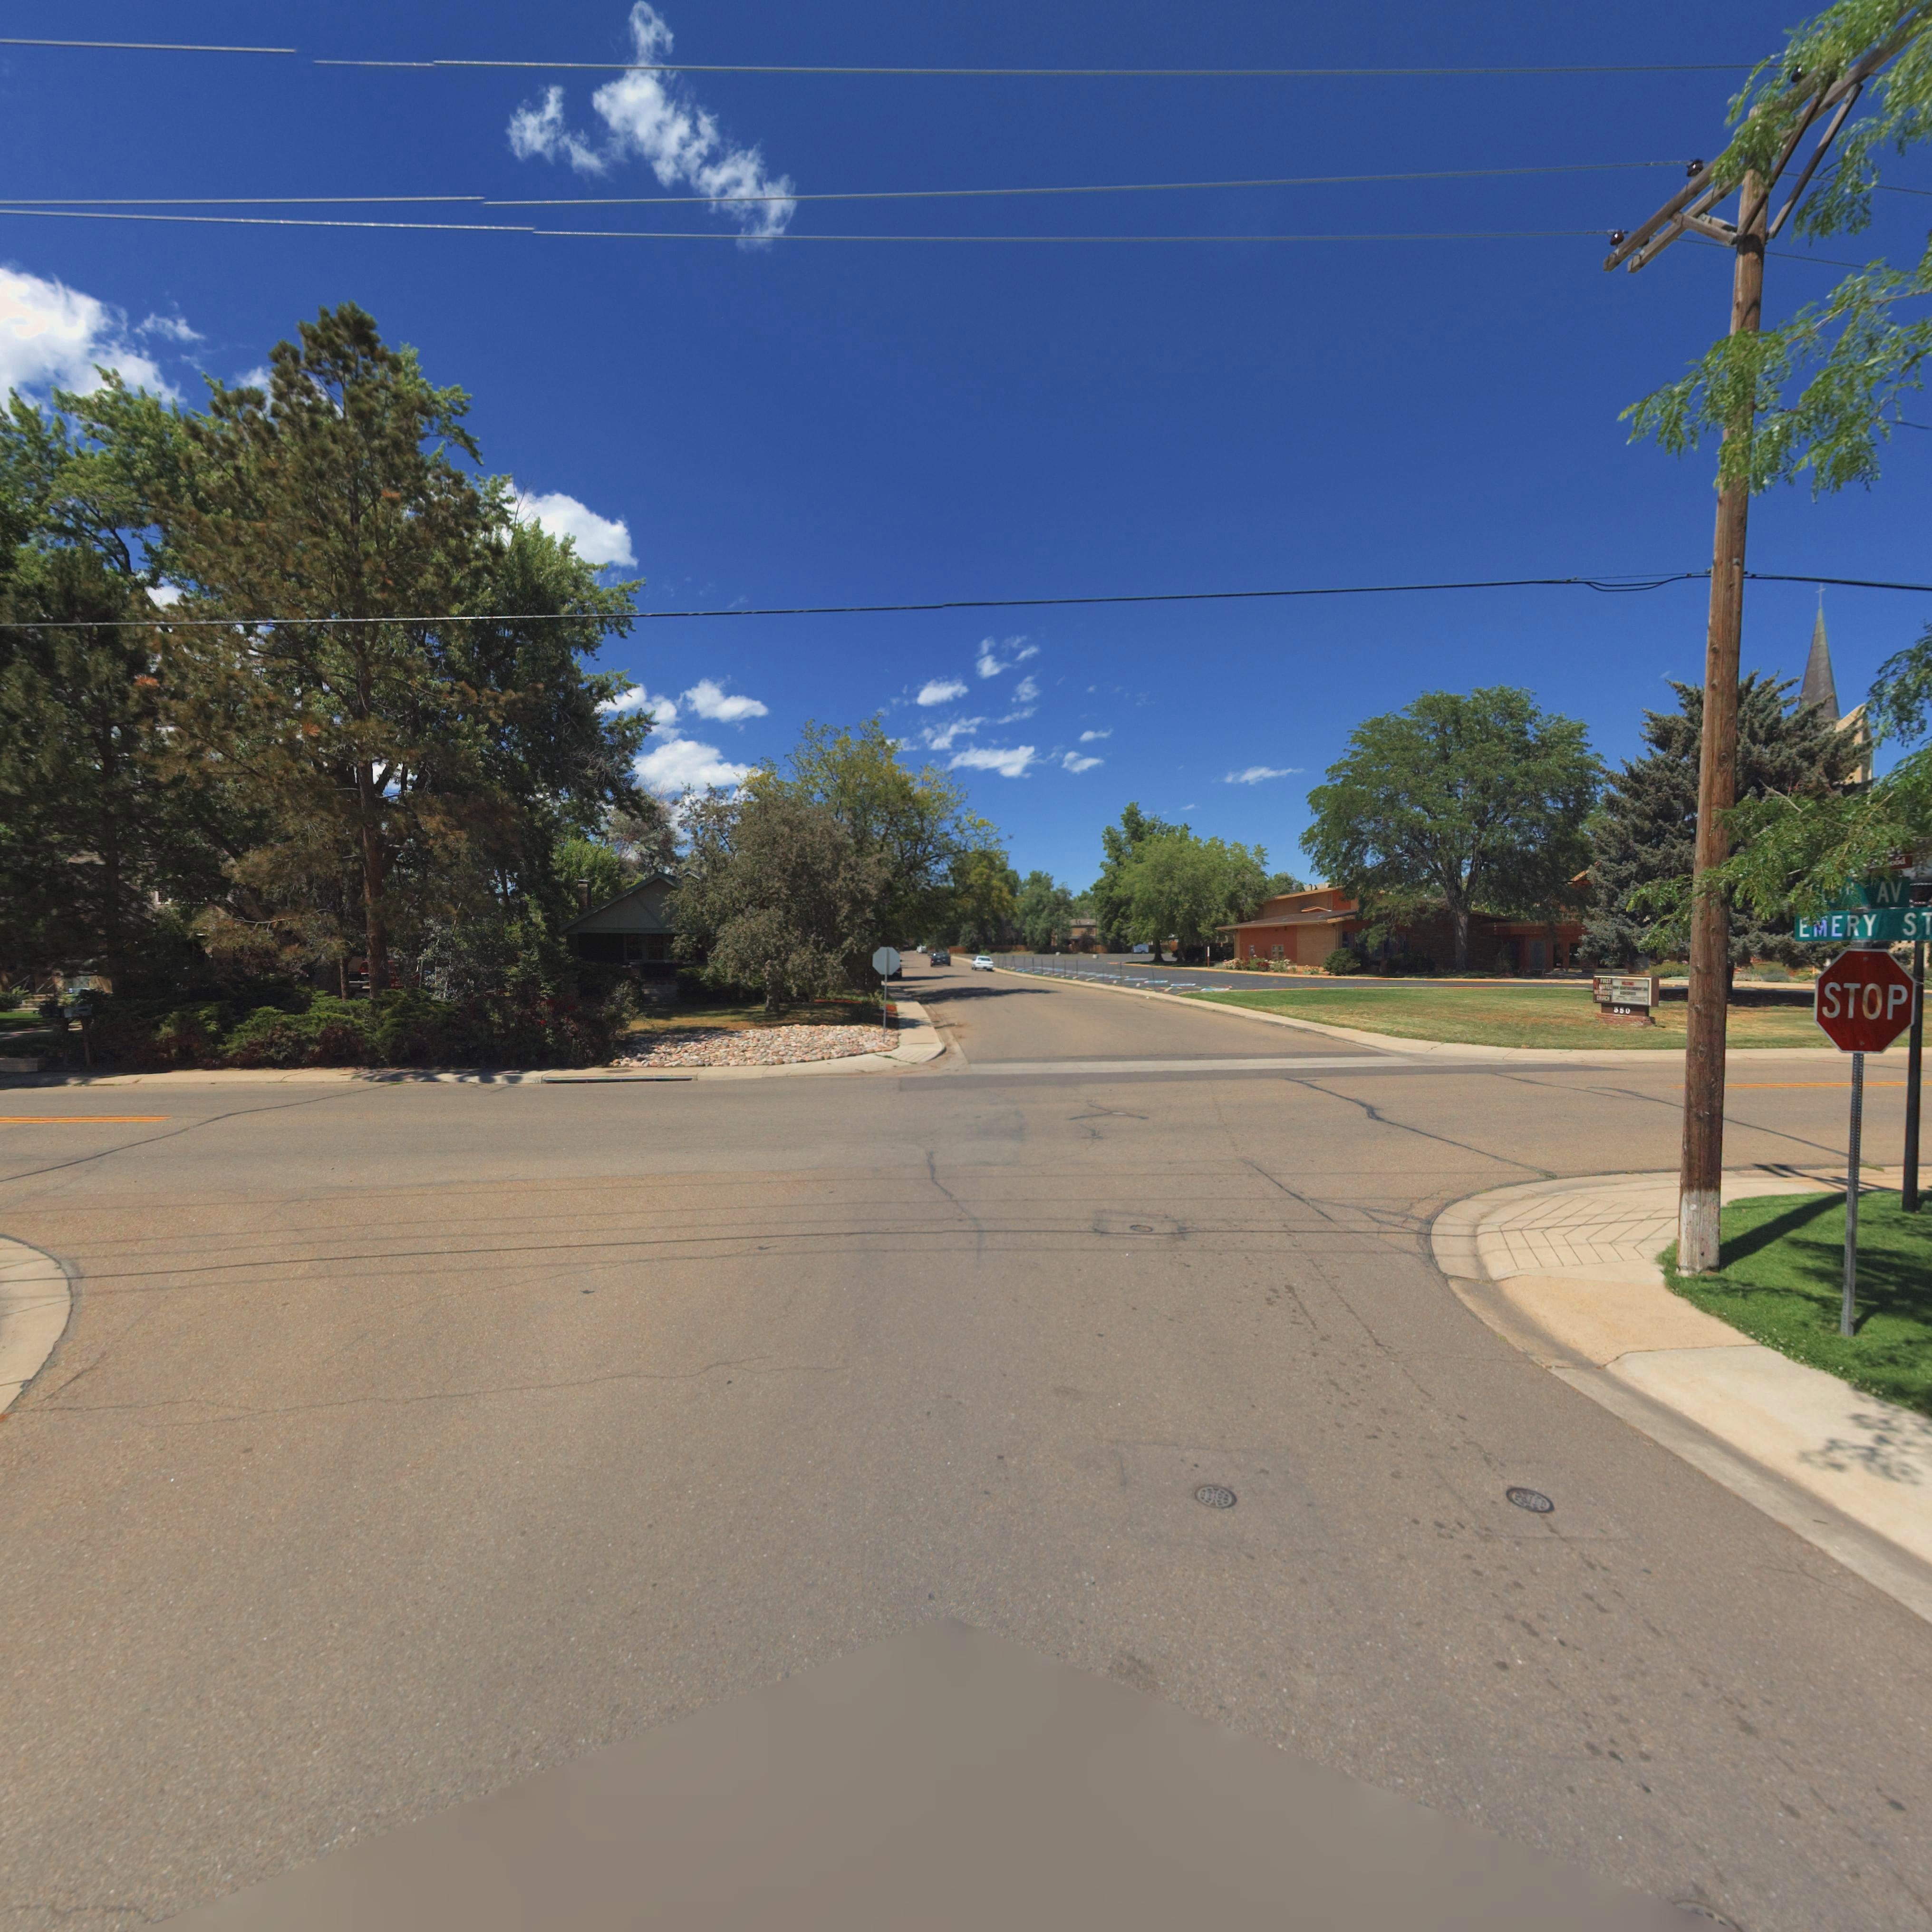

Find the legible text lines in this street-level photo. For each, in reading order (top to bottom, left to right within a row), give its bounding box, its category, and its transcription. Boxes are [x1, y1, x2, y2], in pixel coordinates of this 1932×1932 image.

[1875, 881, 1904, 903] StreetName: AV
[1797, 911, 1932, 937] StreetName: EMERY ST
[1600, 978, 1611, 984] StreetName: F*RS*
[1599, 984, 1613, 989] StreetName: **ITE*
[1594, 989, 1613, 995] StreetName: *******ST
[1596, 995, 1610, 1001] StreetName: C***C*
[1613, 1006, 1631, 1014] StreetNumber: 350